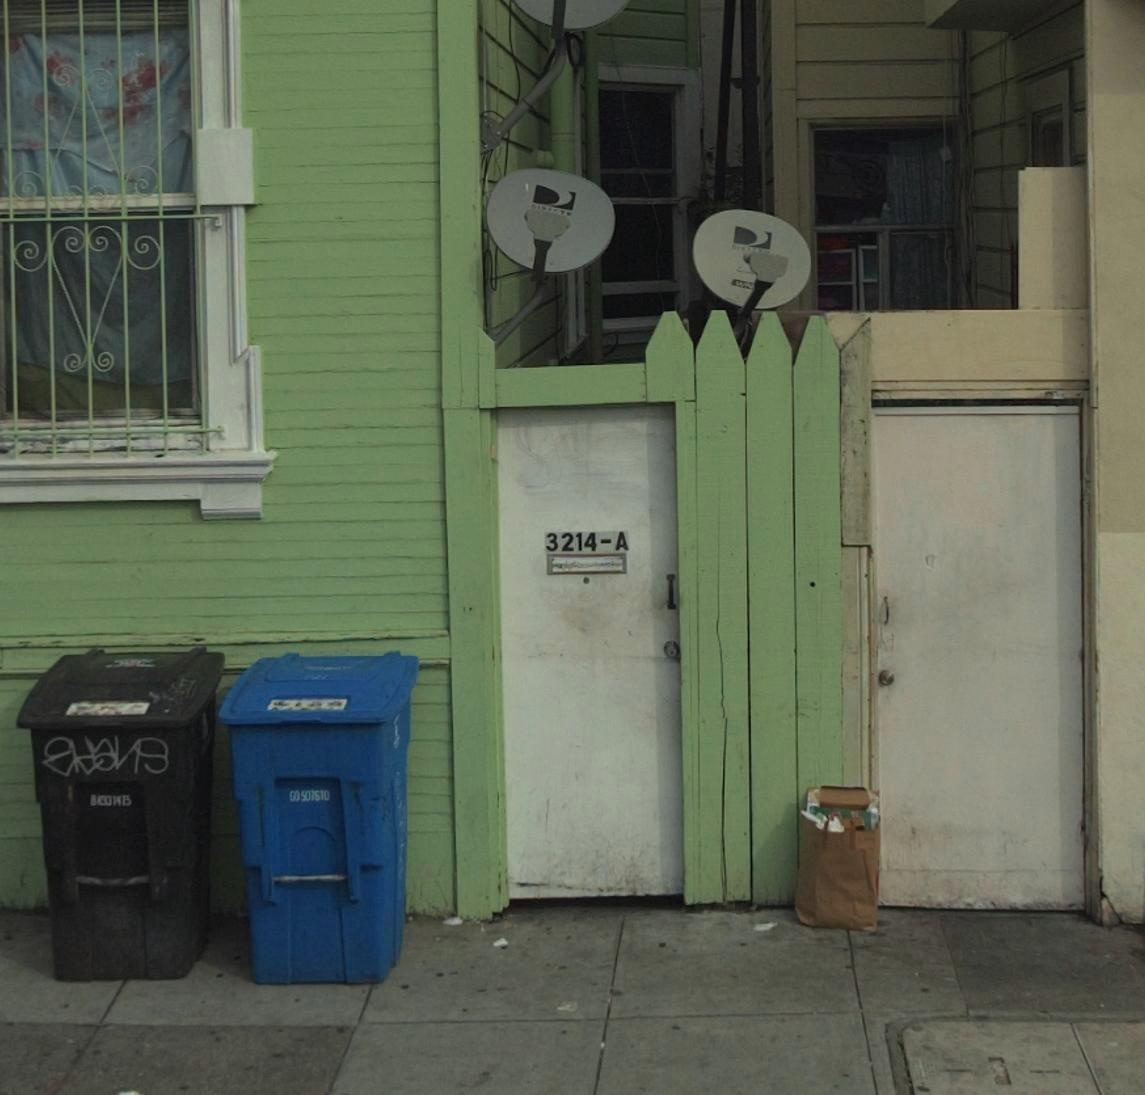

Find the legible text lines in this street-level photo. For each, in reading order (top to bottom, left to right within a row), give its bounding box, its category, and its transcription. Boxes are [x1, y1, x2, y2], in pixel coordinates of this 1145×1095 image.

[545, 530, 630, 553] StreetNumber: 3214-A
[288, 787, 332, 803] None: 00501610